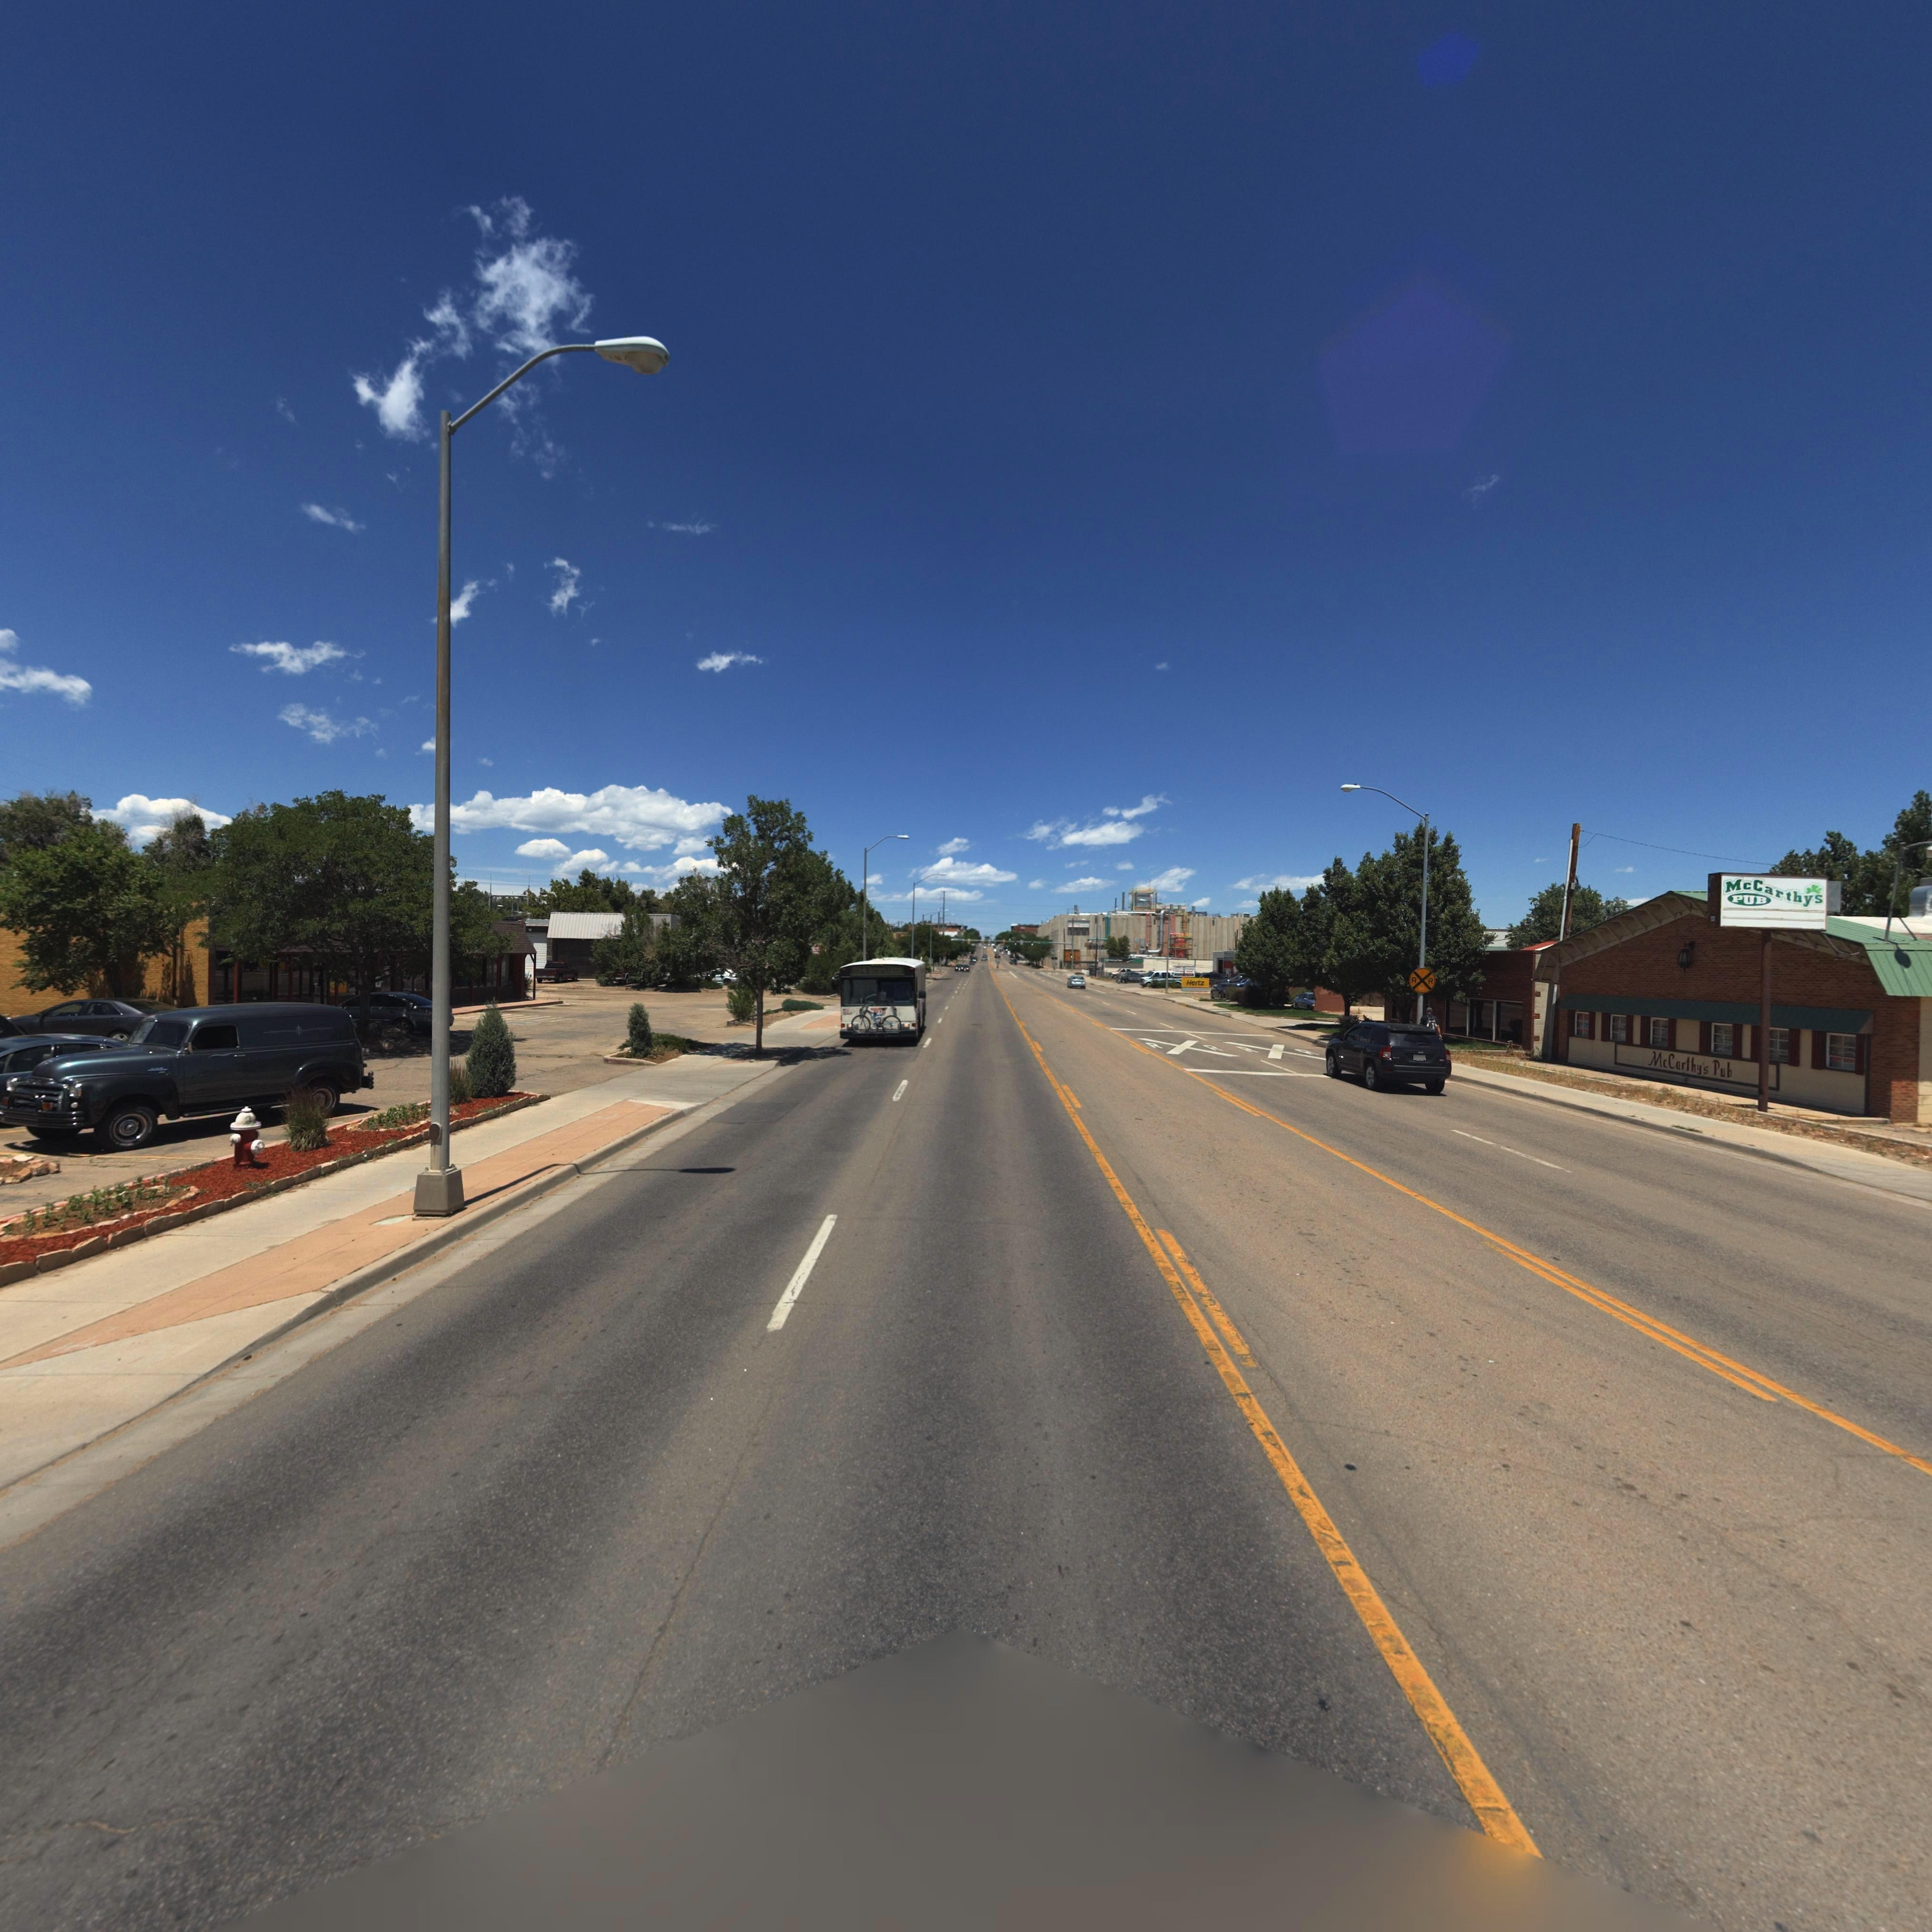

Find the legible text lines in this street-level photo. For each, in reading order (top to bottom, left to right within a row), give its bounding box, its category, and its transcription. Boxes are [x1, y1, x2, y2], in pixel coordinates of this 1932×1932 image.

[1731, 895, 1767, 905] BusinessName: PUB
[1724, 877, 1823, 908] BusinessName: McCarthys
[1186, 979, 1205, 985] BusinessName: Hertz
[1645, 1050, 1732, 1078] BusinessName: McCarthy's Pub